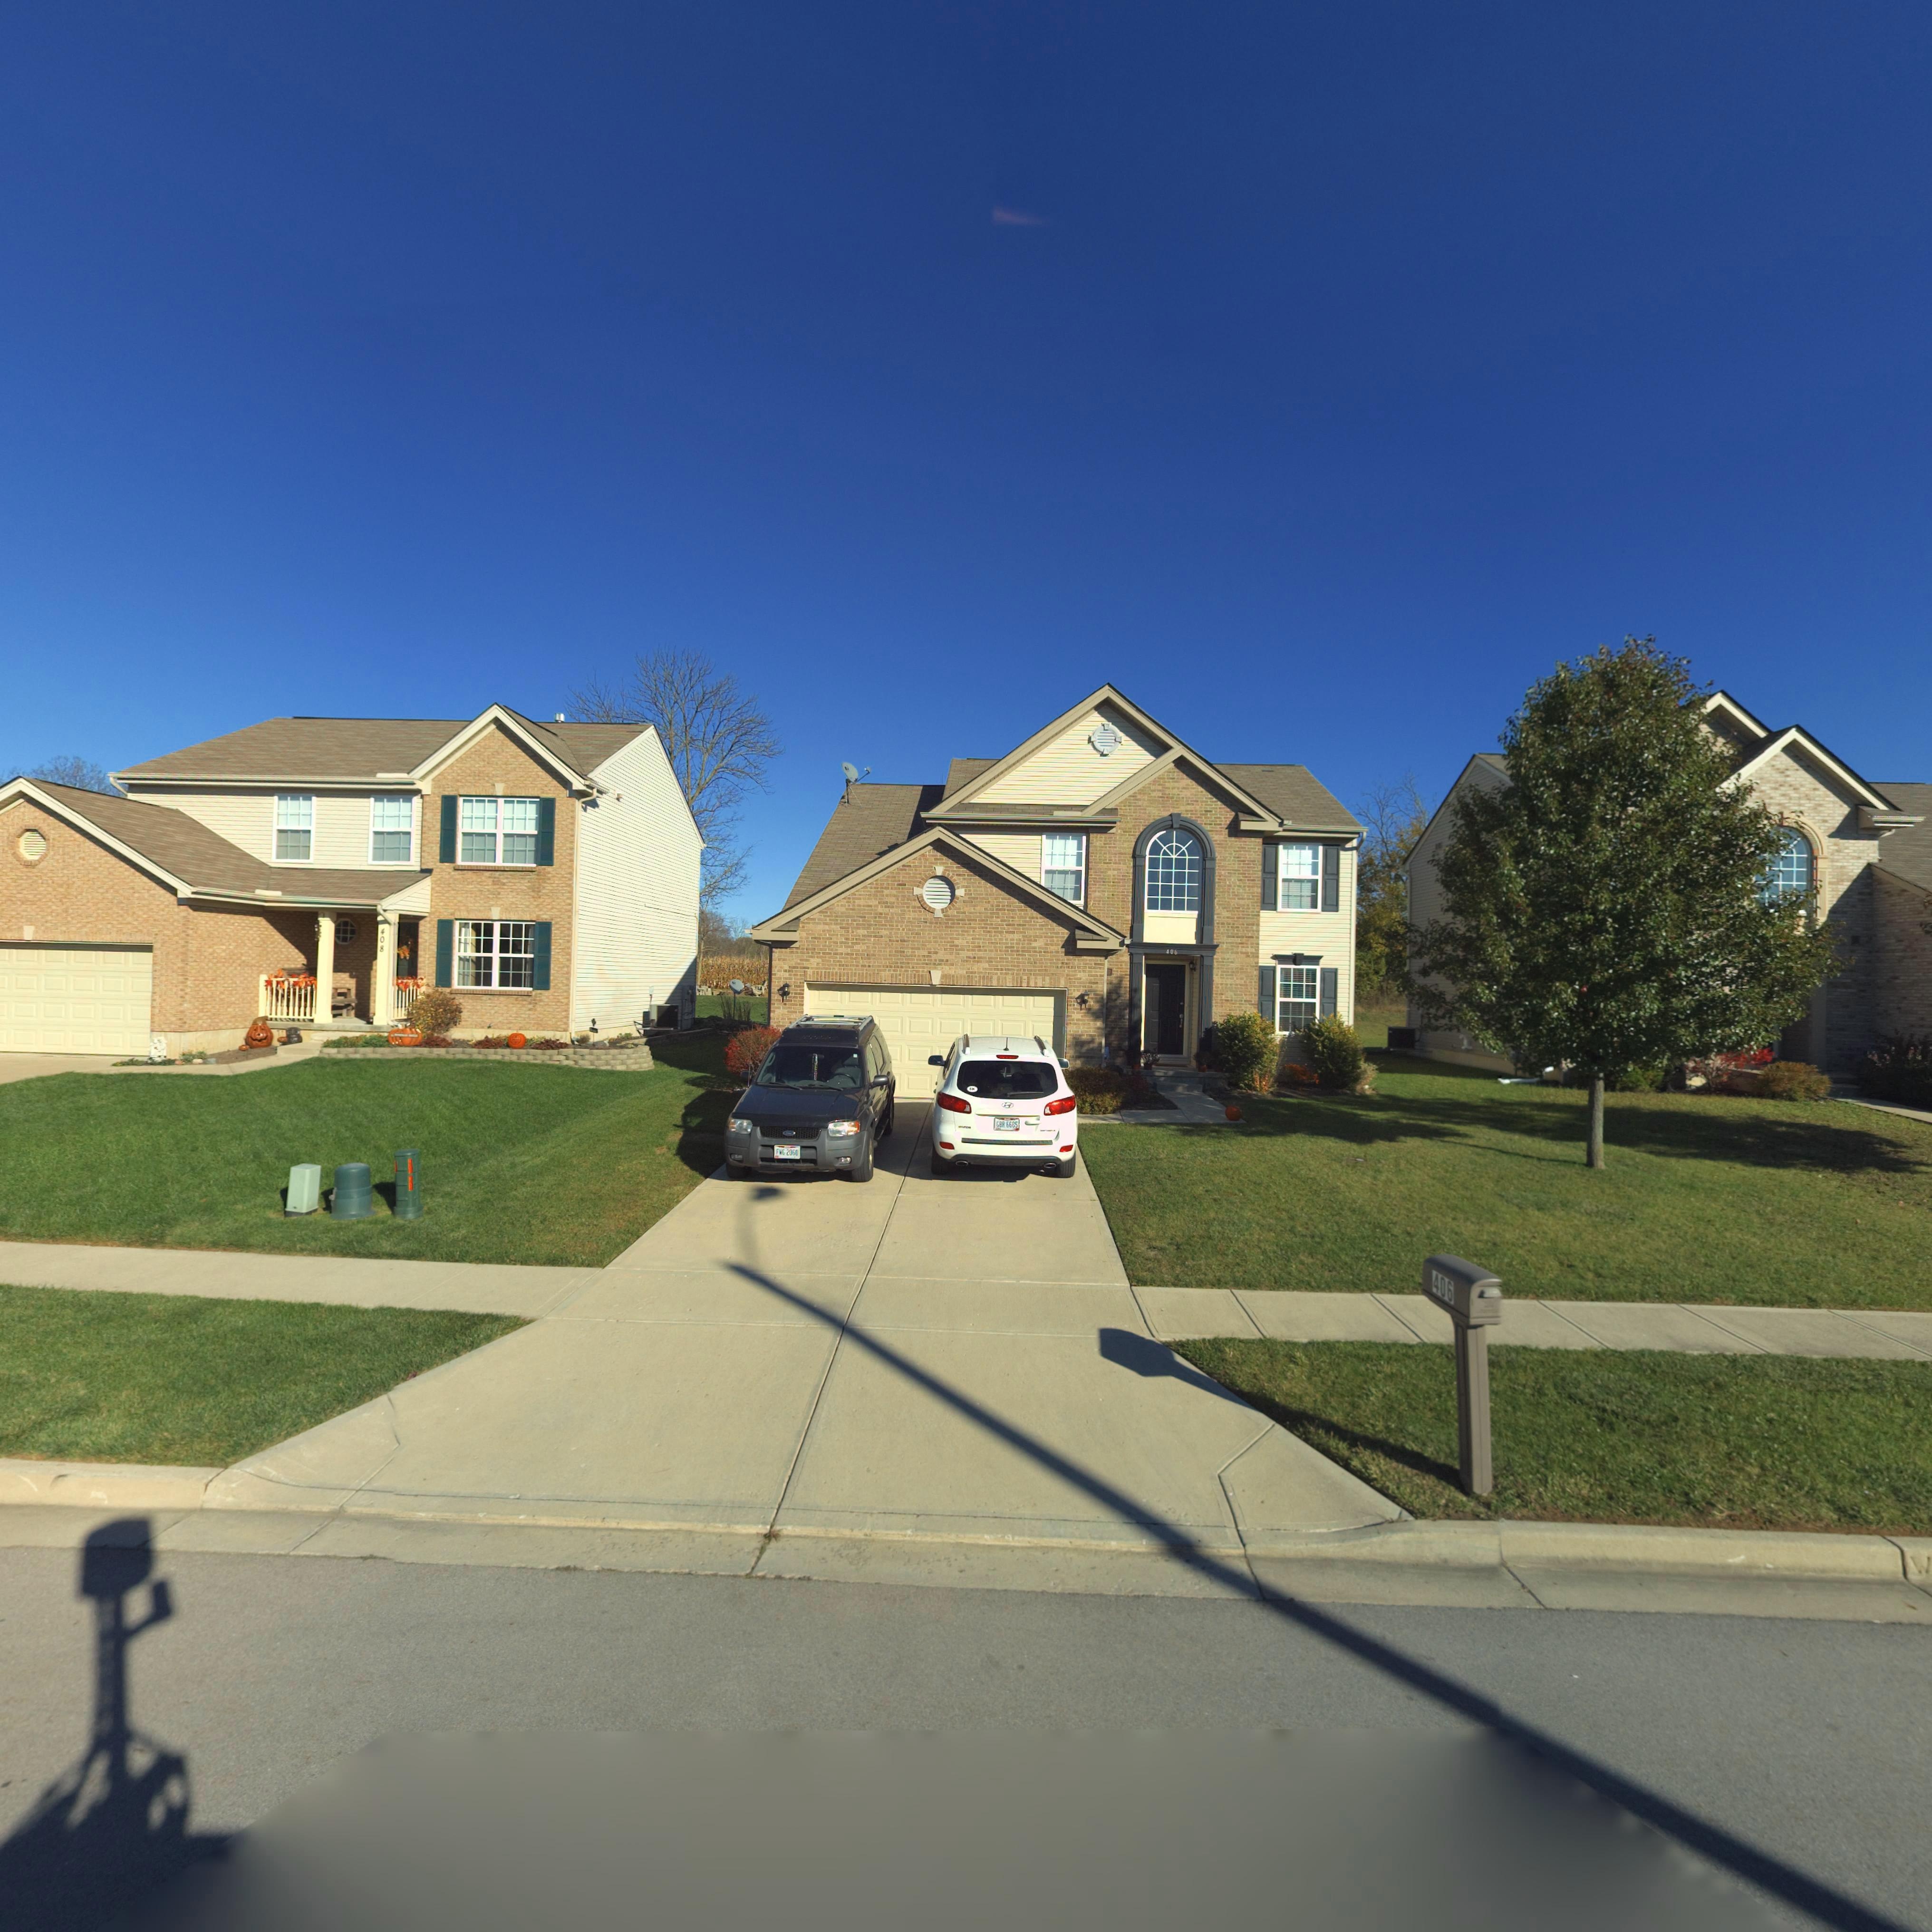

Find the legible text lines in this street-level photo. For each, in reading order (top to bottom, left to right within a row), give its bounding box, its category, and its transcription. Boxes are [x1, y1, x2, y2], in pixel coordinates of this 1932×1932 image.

[379, 927, 385, 953] StreetNumber: 408
[1165, 948, 1178, 956] StreetNumber: 406
[1432, 1272, 1453, 1304] StreetNumber: 406